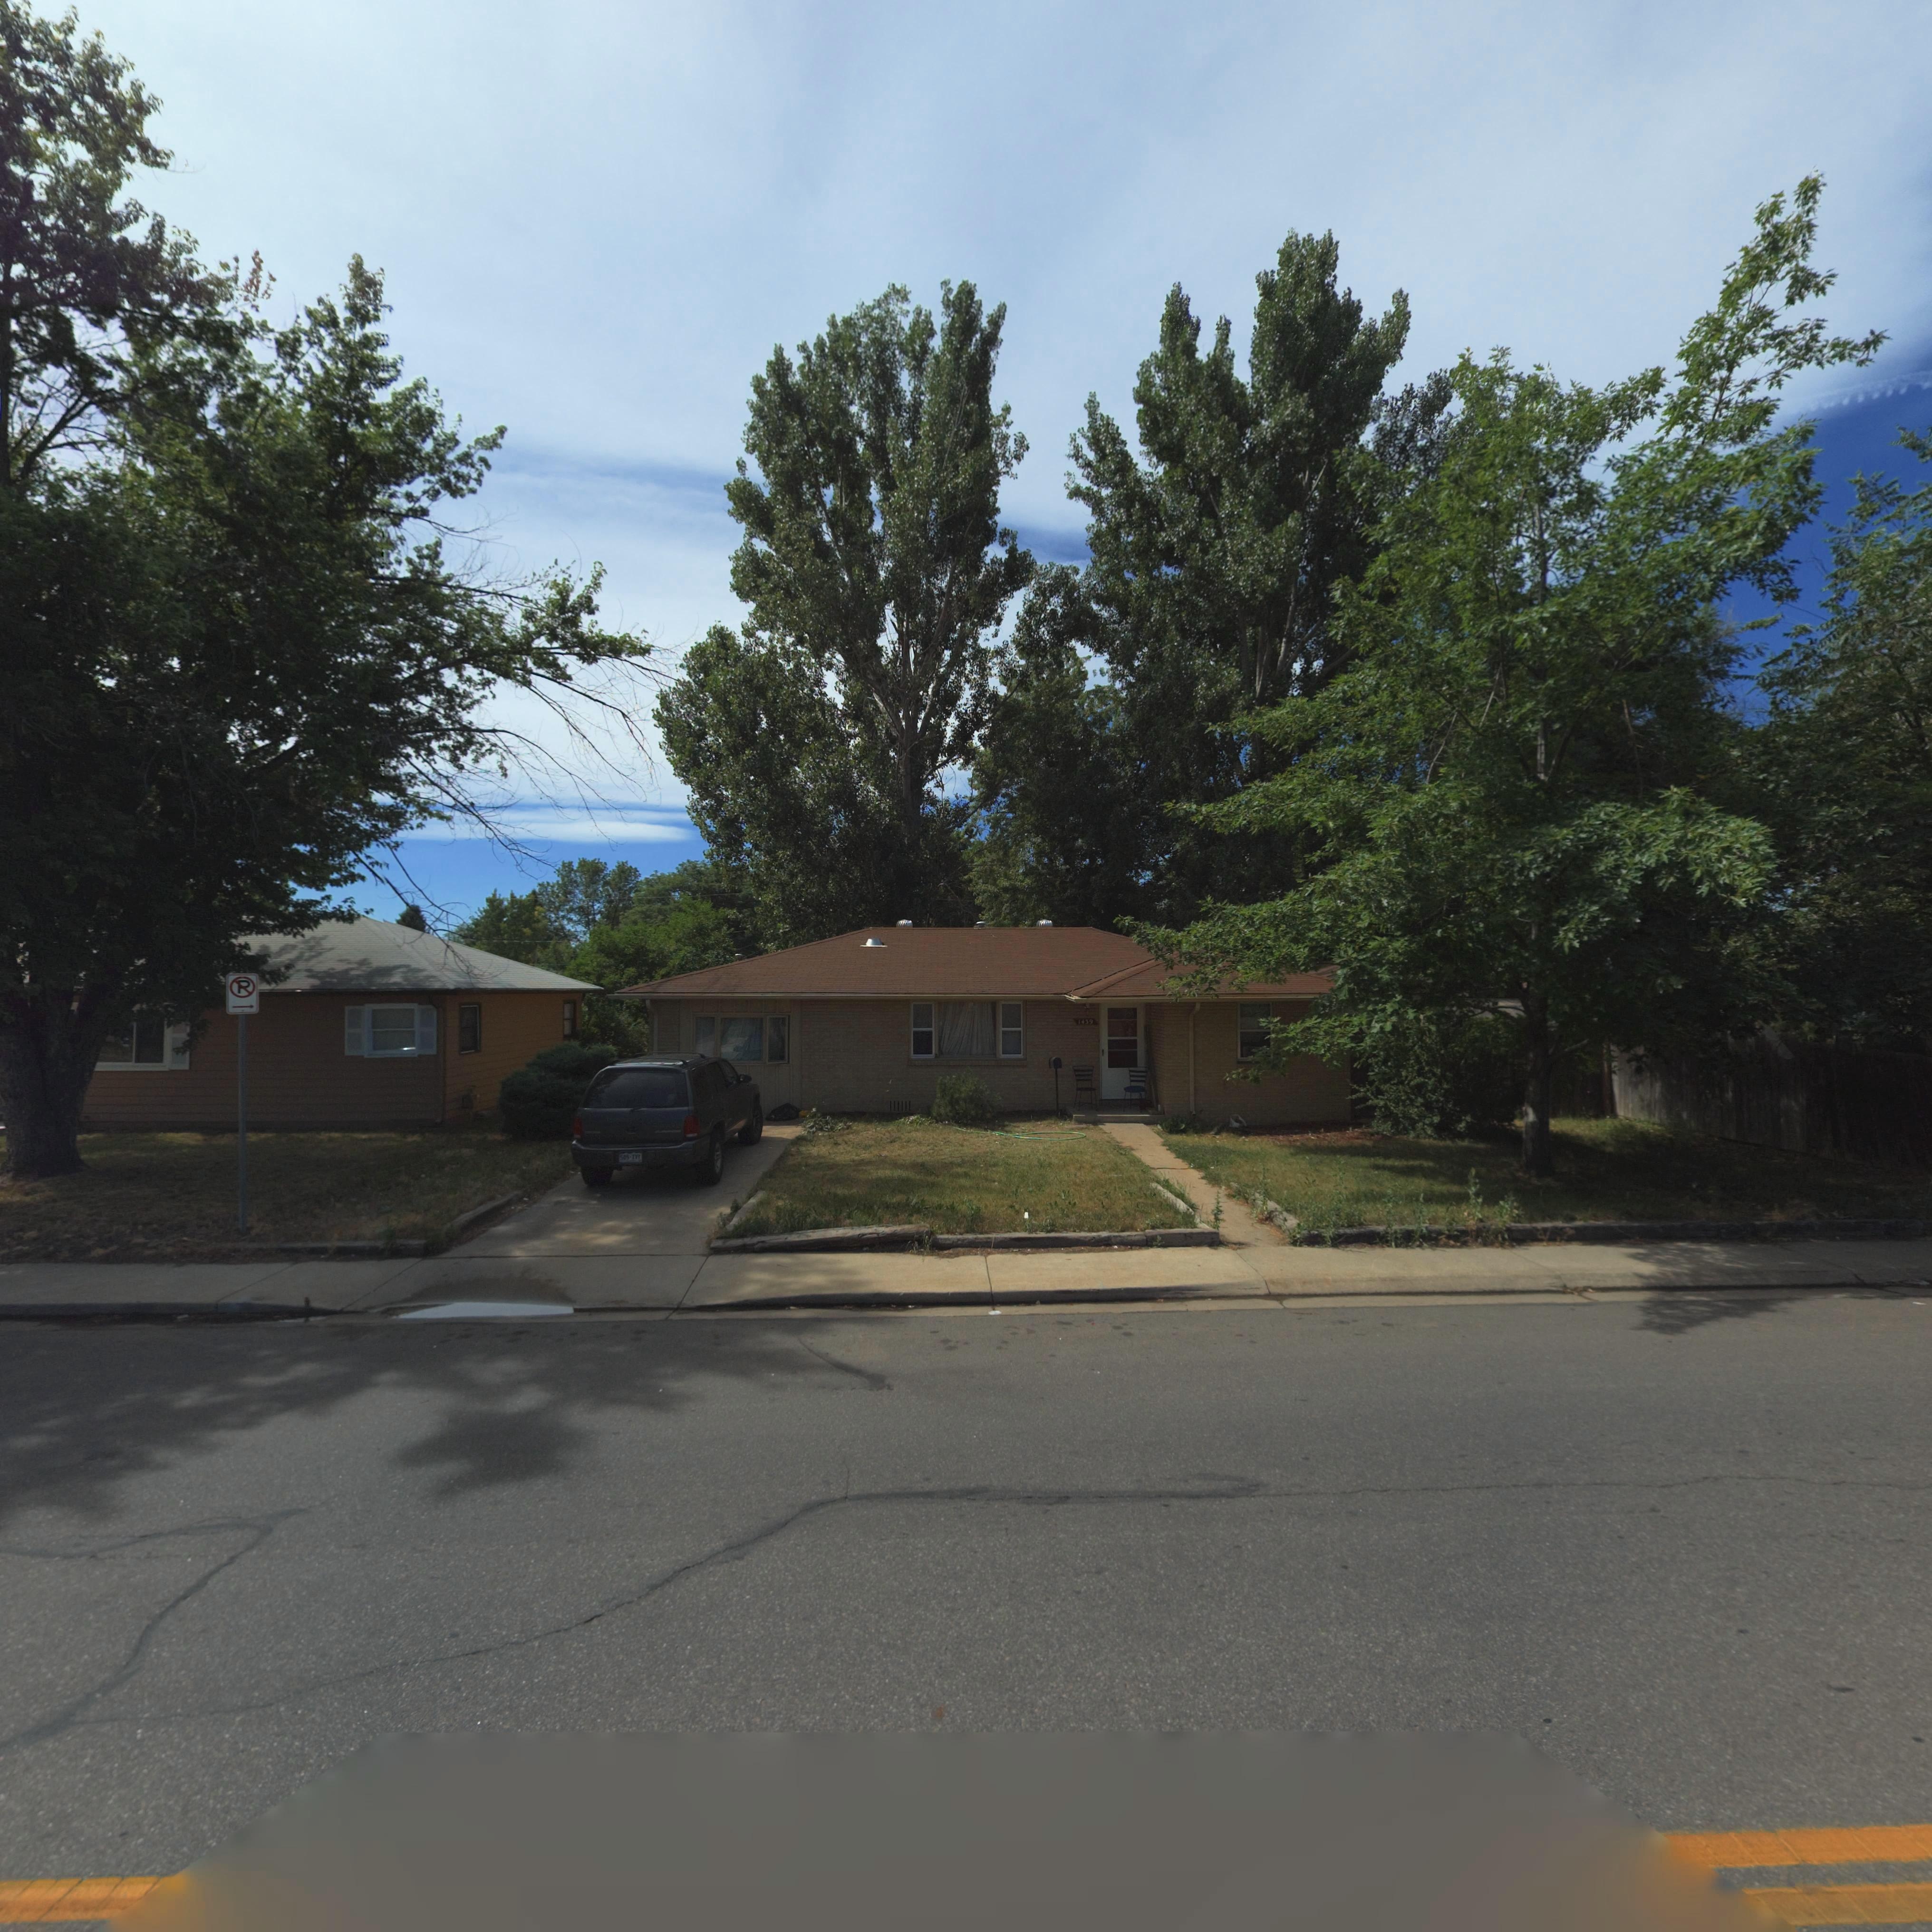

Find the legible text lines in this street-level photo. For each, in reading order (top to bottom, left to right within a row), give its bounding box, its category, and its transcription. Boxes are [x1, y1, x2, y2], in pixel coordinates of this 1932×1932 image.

[1078, 1019, 1093, 1024] StreetNumber: 1439